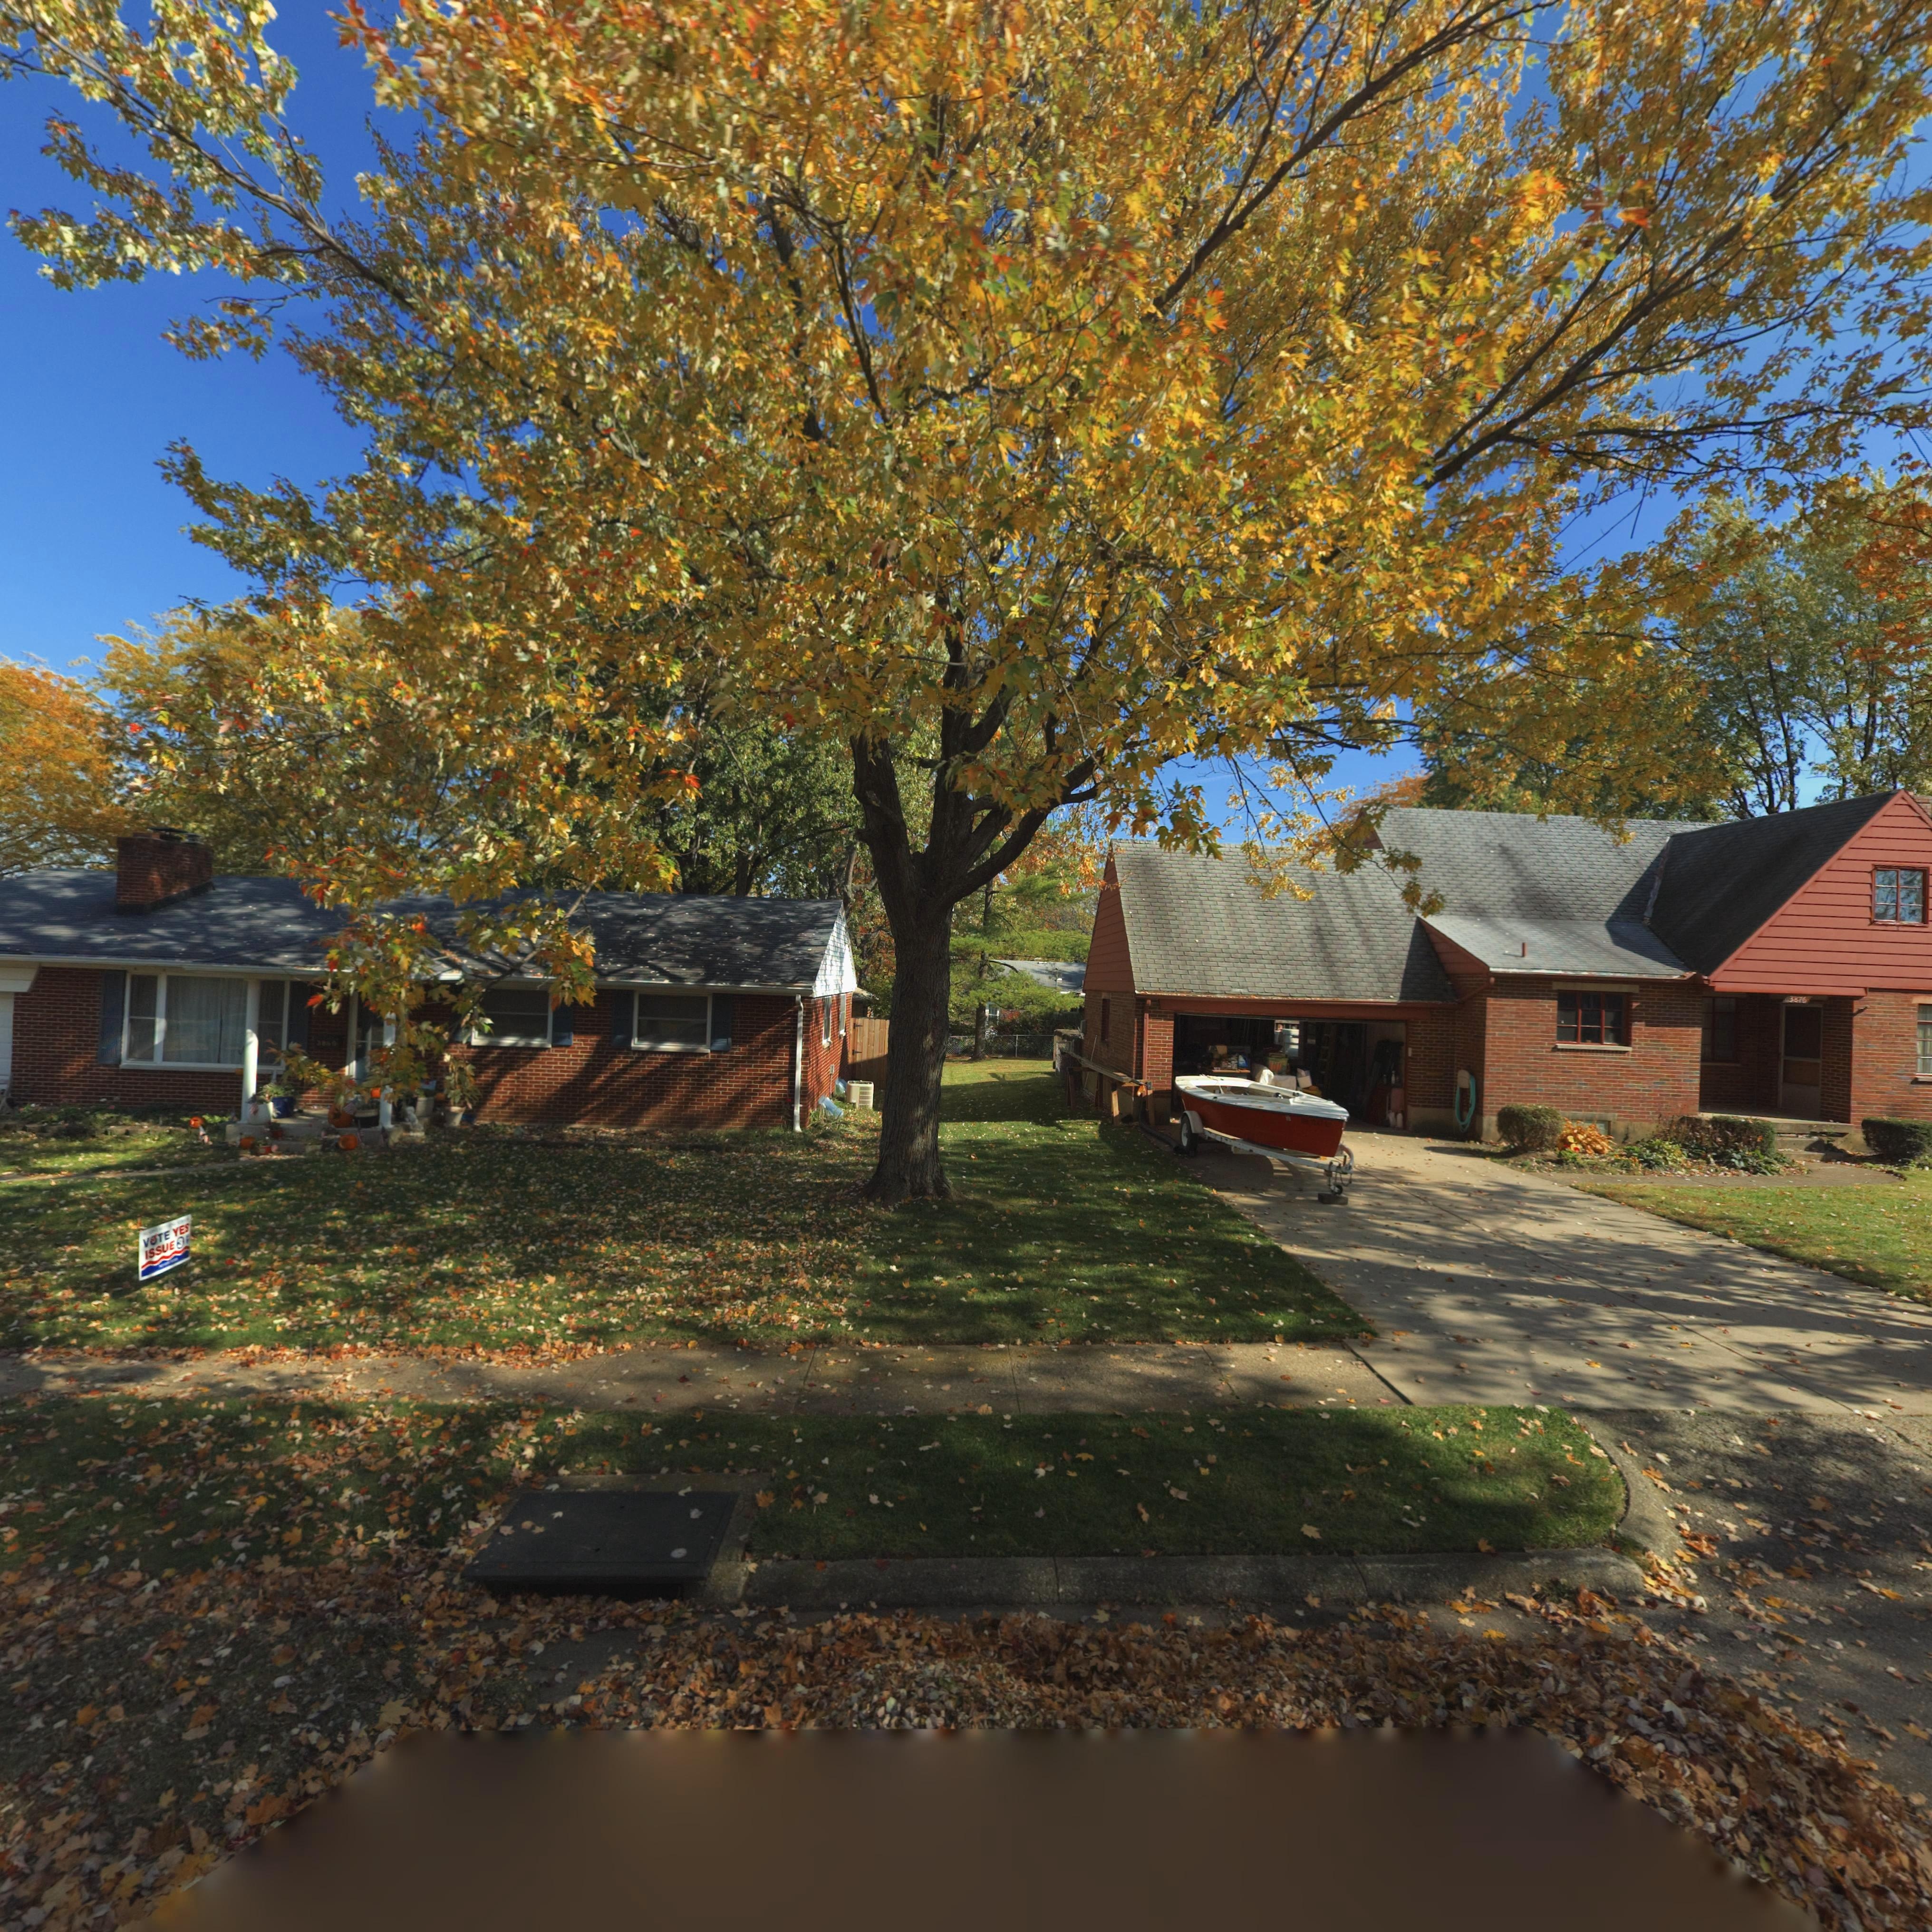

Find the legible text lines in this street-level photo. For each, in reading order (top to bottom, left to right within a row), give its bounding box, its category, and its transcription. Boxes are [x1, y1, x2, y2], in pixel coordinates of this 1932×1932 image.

[1788, 995, 1808, 1005] StreetNumber: 3876
[315, 1038, 340, 1047] StreetNumber: 3**0
[141, 1221, 190, 1249] None: VOTE YES
[145, 1237, 184, 1261] None: ISSUE 3